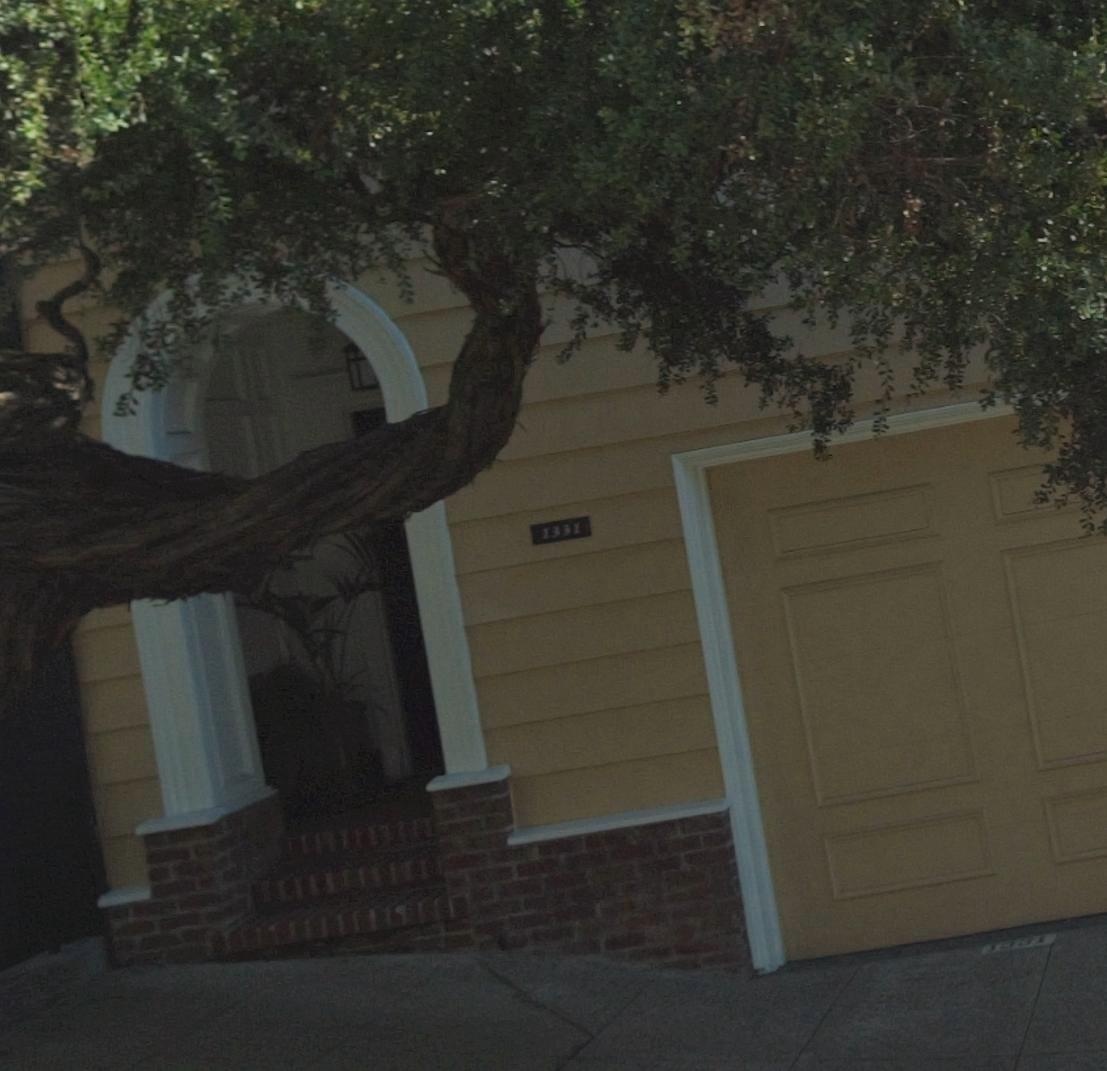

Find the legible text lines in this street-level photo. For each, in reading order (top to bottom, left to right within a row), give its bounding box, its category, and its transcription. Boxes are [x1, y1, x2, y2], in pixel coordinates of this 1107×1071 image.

[539, 519, 585, 542] StreetNumber: 1331